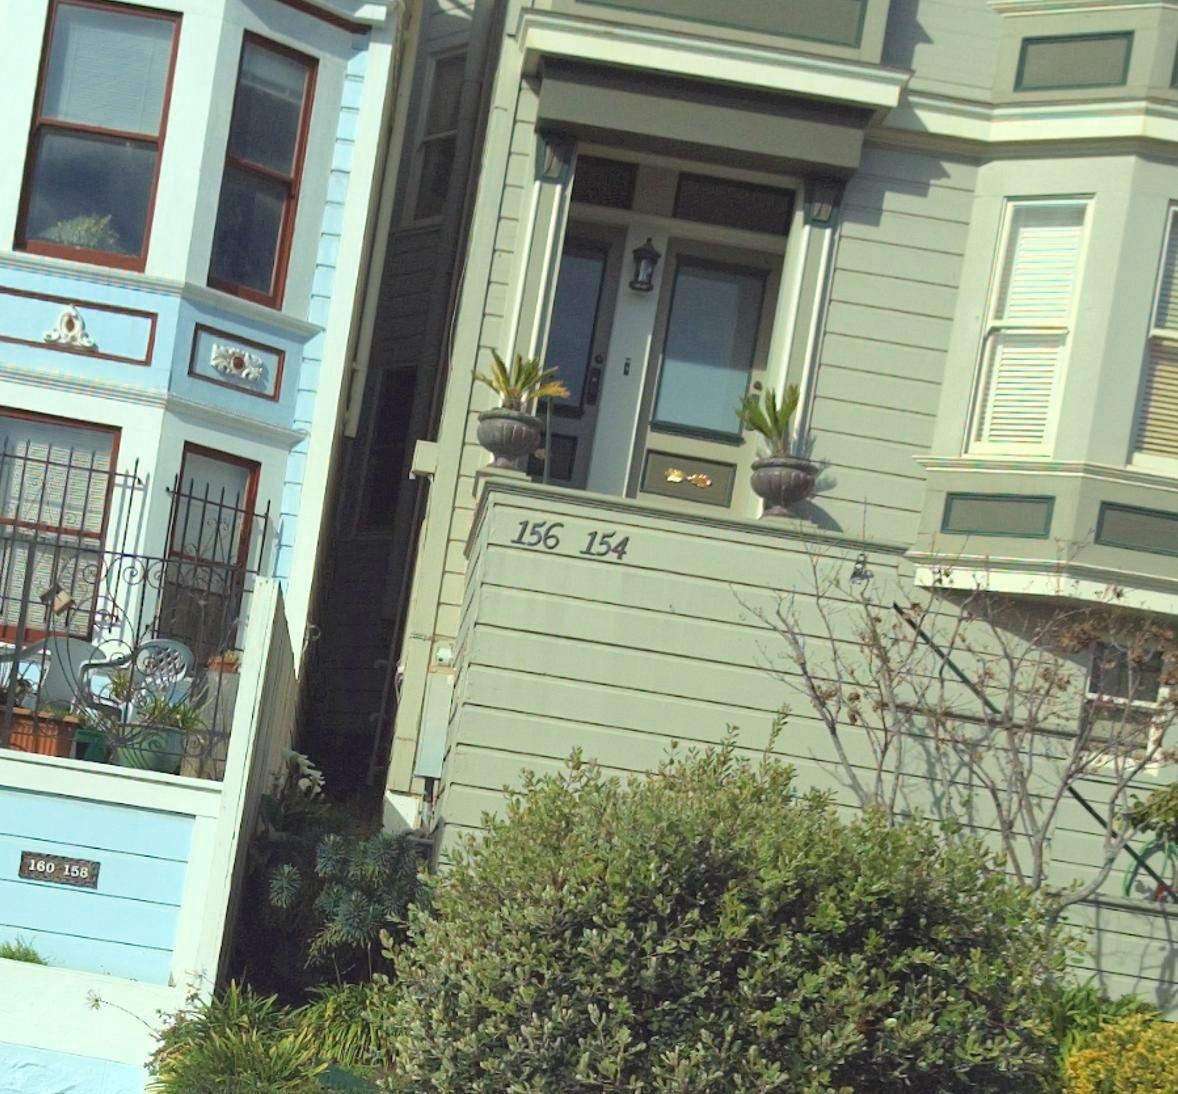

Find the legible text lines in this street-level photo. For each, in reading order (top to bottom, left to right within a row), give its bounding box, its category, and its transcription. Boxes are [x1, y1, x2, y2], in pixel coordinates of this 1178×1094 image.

[507, 518, 568, 552] StreetNumber: 156
[576, 529, 639, 562] StreetNumber: 154
[27, 857, 57, 875] StreetNumber: 160
[61, 862, 90, 881] StreetNumber: 158